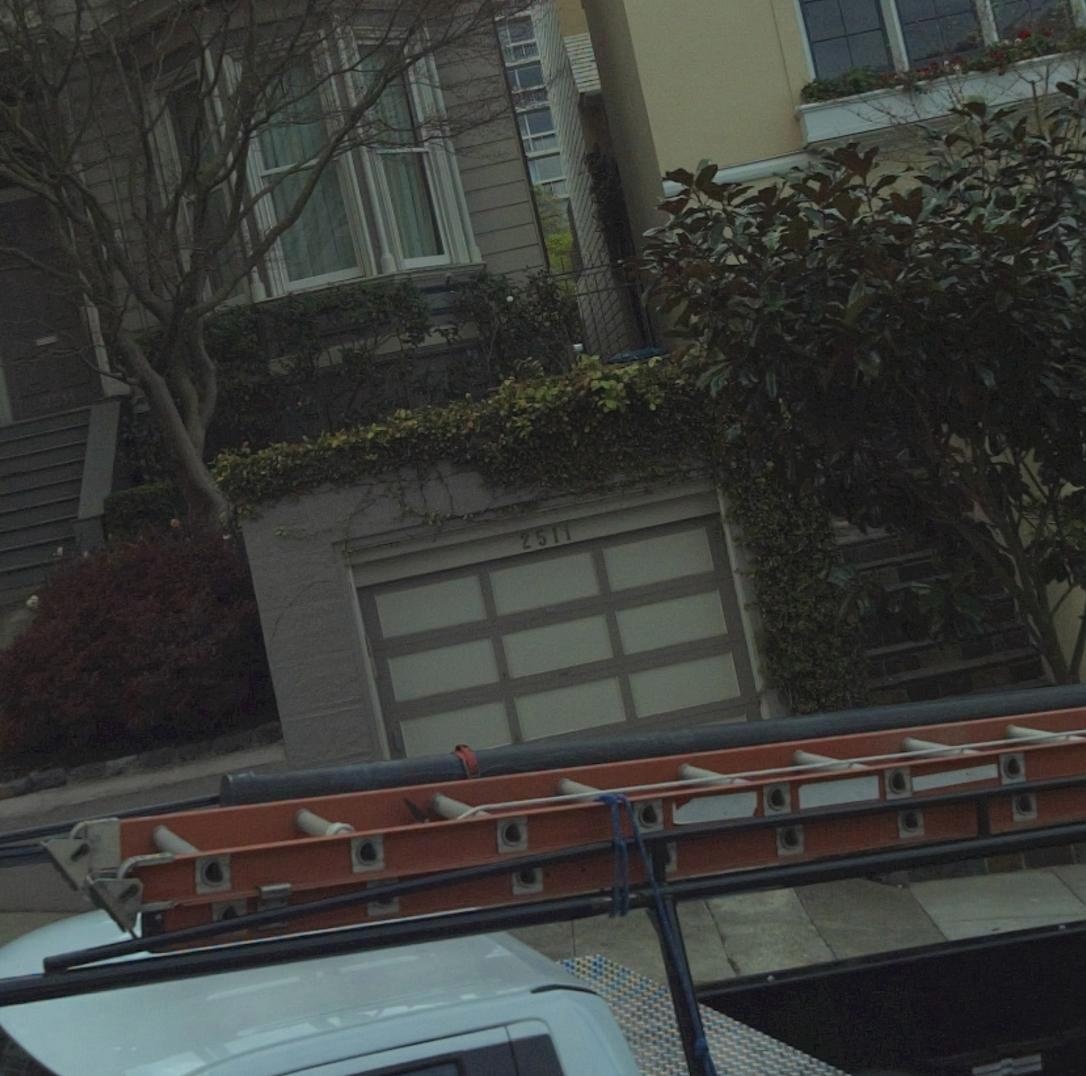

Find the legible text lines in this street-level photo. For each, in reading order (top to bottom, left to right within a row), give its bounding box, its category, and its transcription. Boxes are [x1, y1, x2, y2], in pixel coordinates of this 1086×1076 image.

[518, 518, 576, 554] StreetNumber: 2511